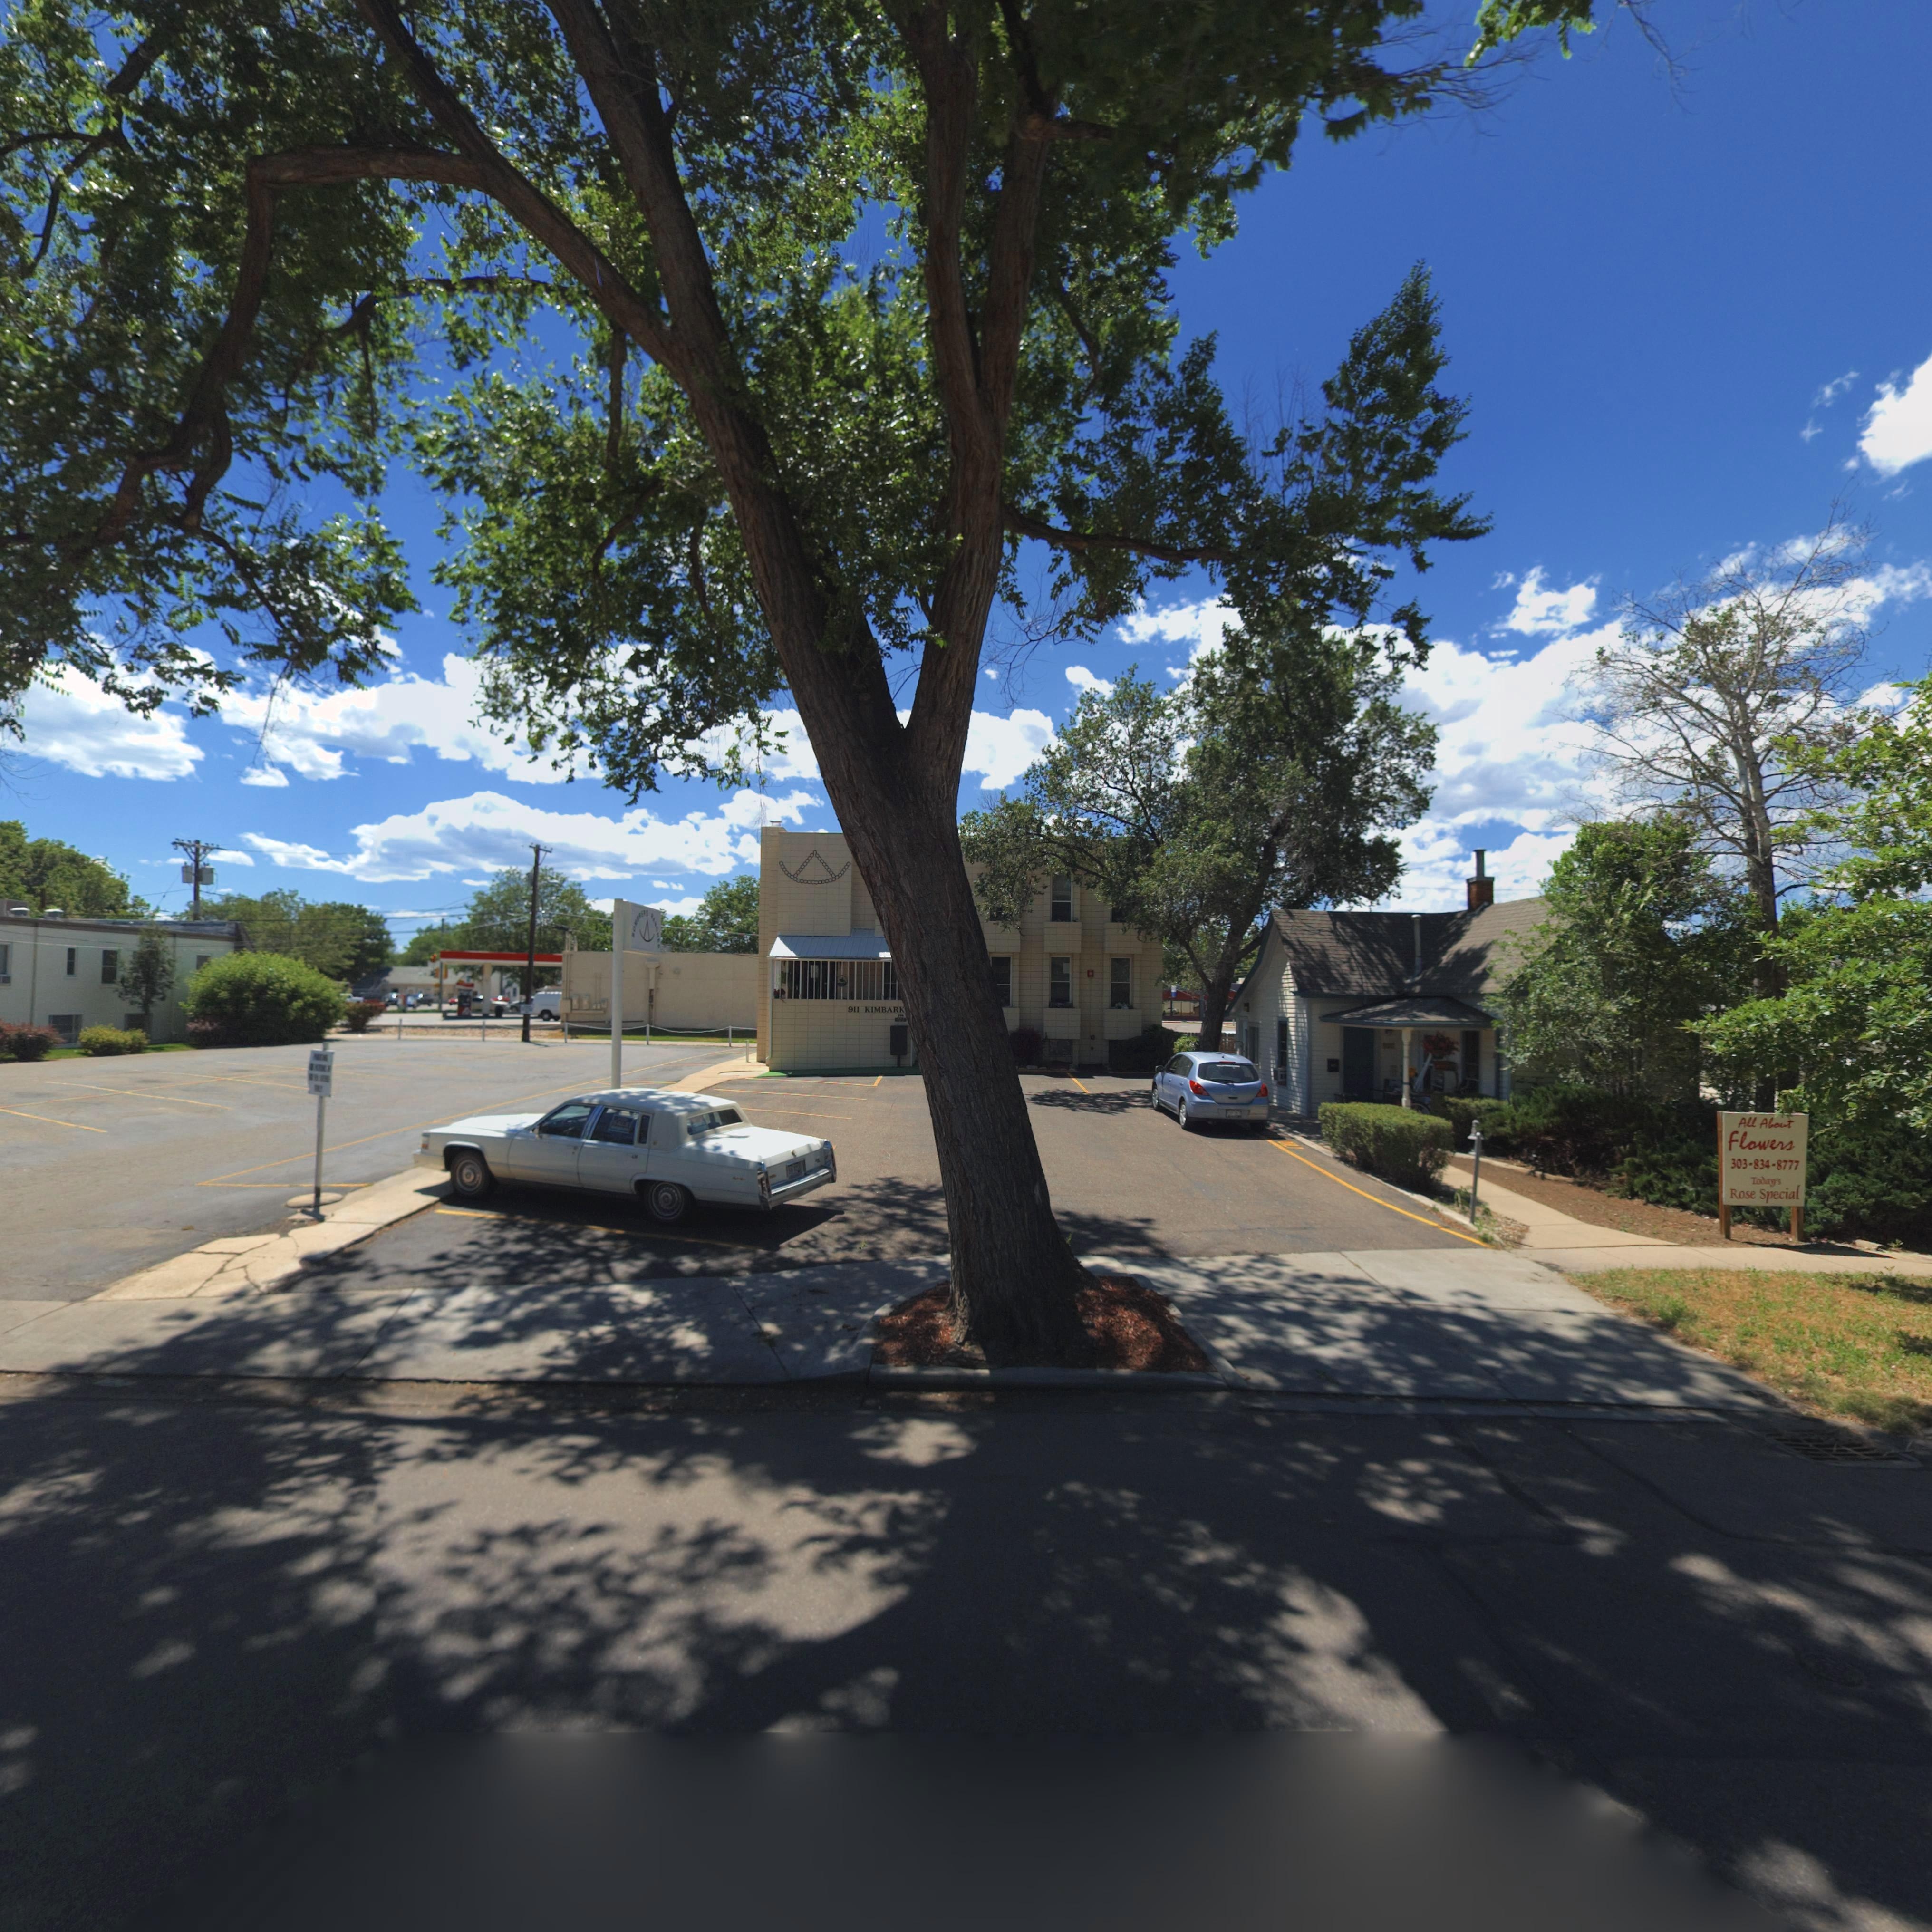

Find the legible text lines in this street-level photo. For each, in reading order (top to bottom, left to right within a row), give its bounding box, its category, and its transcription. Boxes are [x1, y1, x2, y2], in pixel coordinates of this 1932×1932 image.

[847, 1005, 860, 1013] StreetNumber: 911
[864, 1006, 904, 1013] StreetName: KIMBARK
[1738, 1116, 1795, 1129] BusinessName: All About
[1727, 1129, 1796, 1152] BusinessName: Flowers